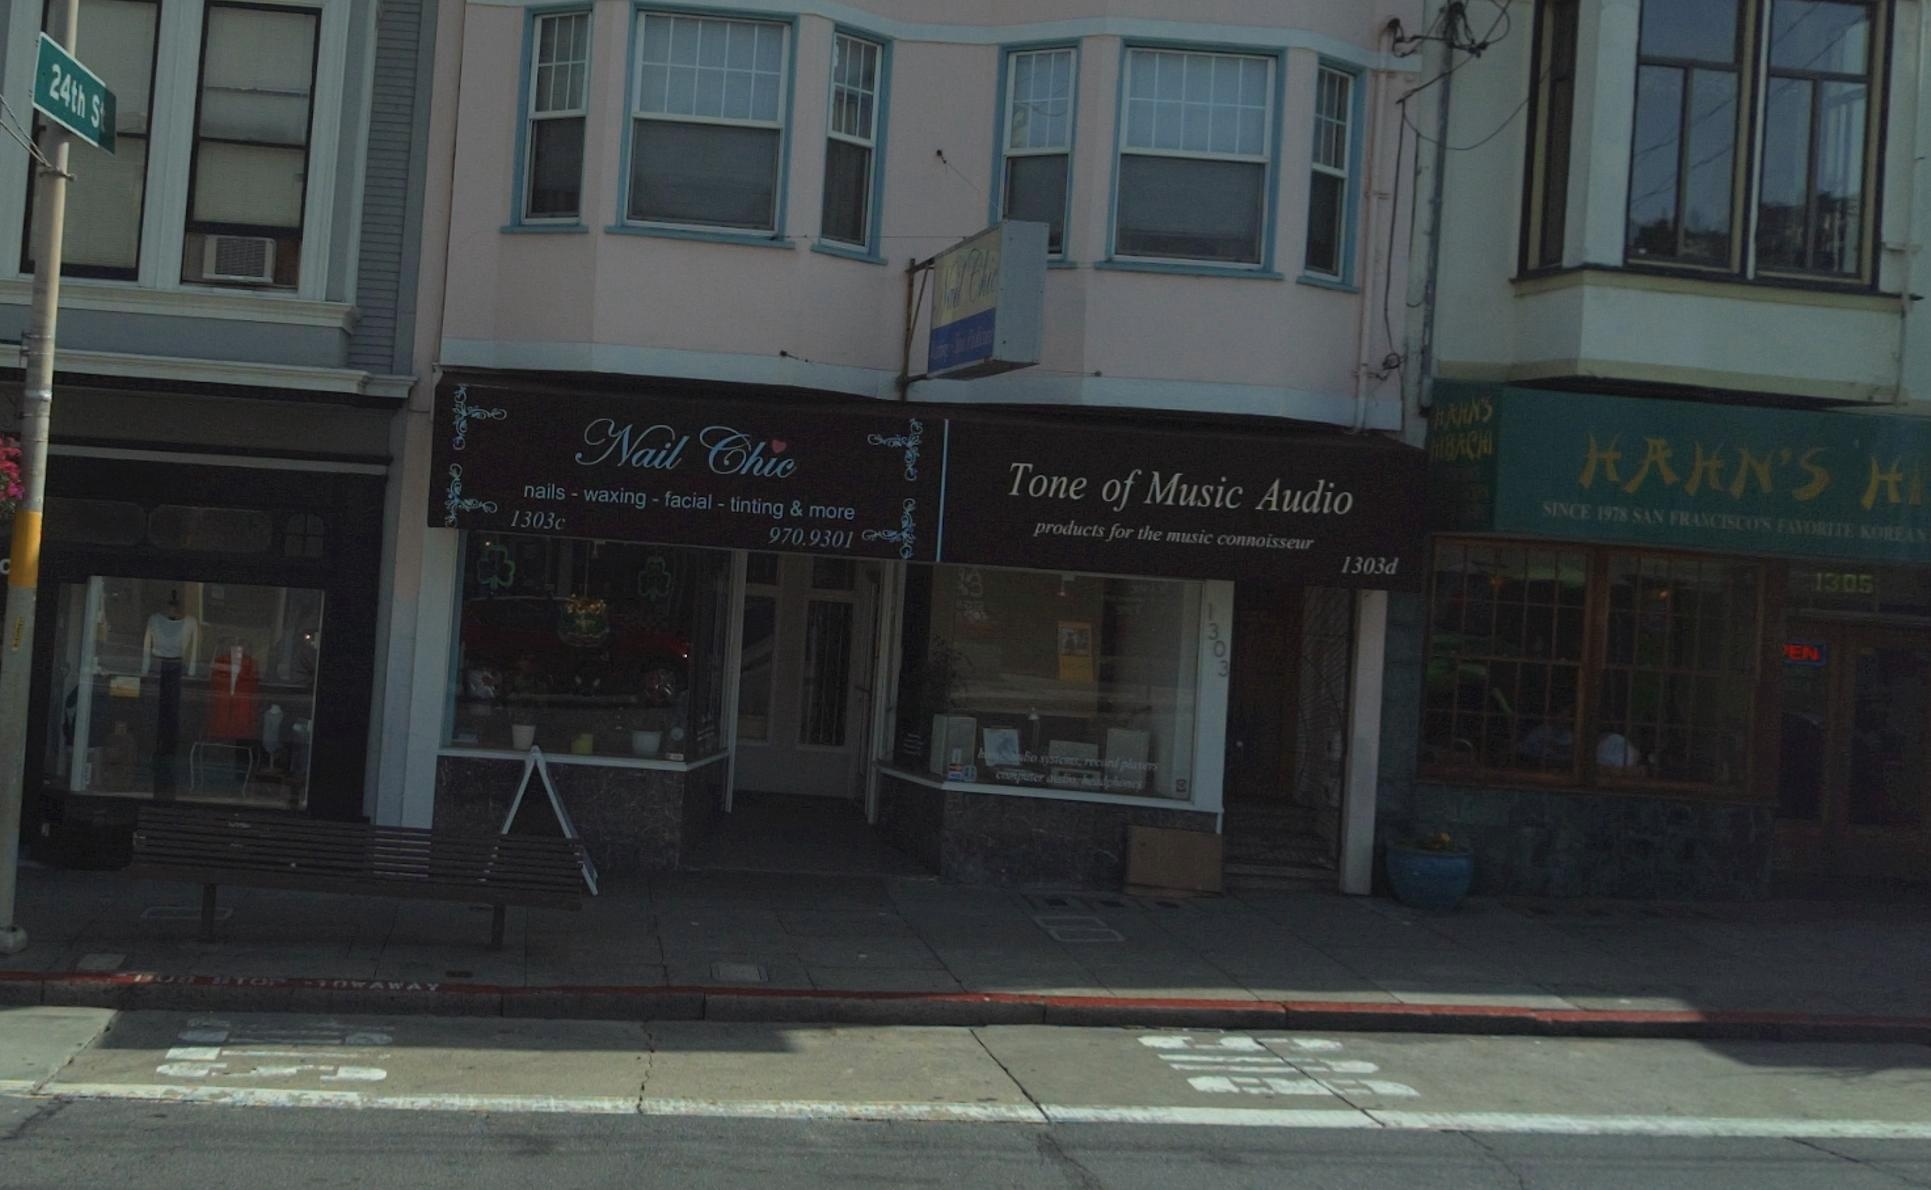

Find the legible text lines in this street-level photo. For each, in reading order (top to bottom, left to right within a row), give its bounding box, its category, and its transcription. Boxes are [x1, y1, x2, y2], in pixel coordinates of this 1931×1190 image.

[47, 58, 109, 138] StreetName: 24th St
[933, 245, 1006, 319] None: Nail Chic
[1432, 390, 1495, 436] BusinessName: HAHN'S
[567, 415, 801, 481] BusinessName: Nail Chic
[1427, 426, 1495, 465] BusinessName: HIBACHI
[509, 509, 567, 531] StreetNumber: 1303c
[521, 481, 859, 522] None: nails - waxing - facial - tinting & more
[764, 525, 857, 552] None: 970.9301
[1030, 519, 1321, 550] None: products for the music connoisseur
[1000, 460, 1357, 516] BusinessName: Tone of Music Audio
[1539, 498, 1930, 547] None: SINCE 1978 SAN FRANCISCO'S FAVORITE KOREAN
[1572, 424, 1931, 516] BusinessName: HAHN'S HI
[1340, 554, 1401, 578] StreetNumber: 1303d
[1814, 570, 1875, 596] None: 1305
[1204, 599, 1233, 681] StreetNumber: 1303
[1776, 641, 1820, 663] None: *EN
[992, 767, 1145, 790] None: computer audio, headphones
[1037, 753, 1161, 774] None: systems, record players
[132, 972, 444, 992] None: BUS STOP - TOWAWAY